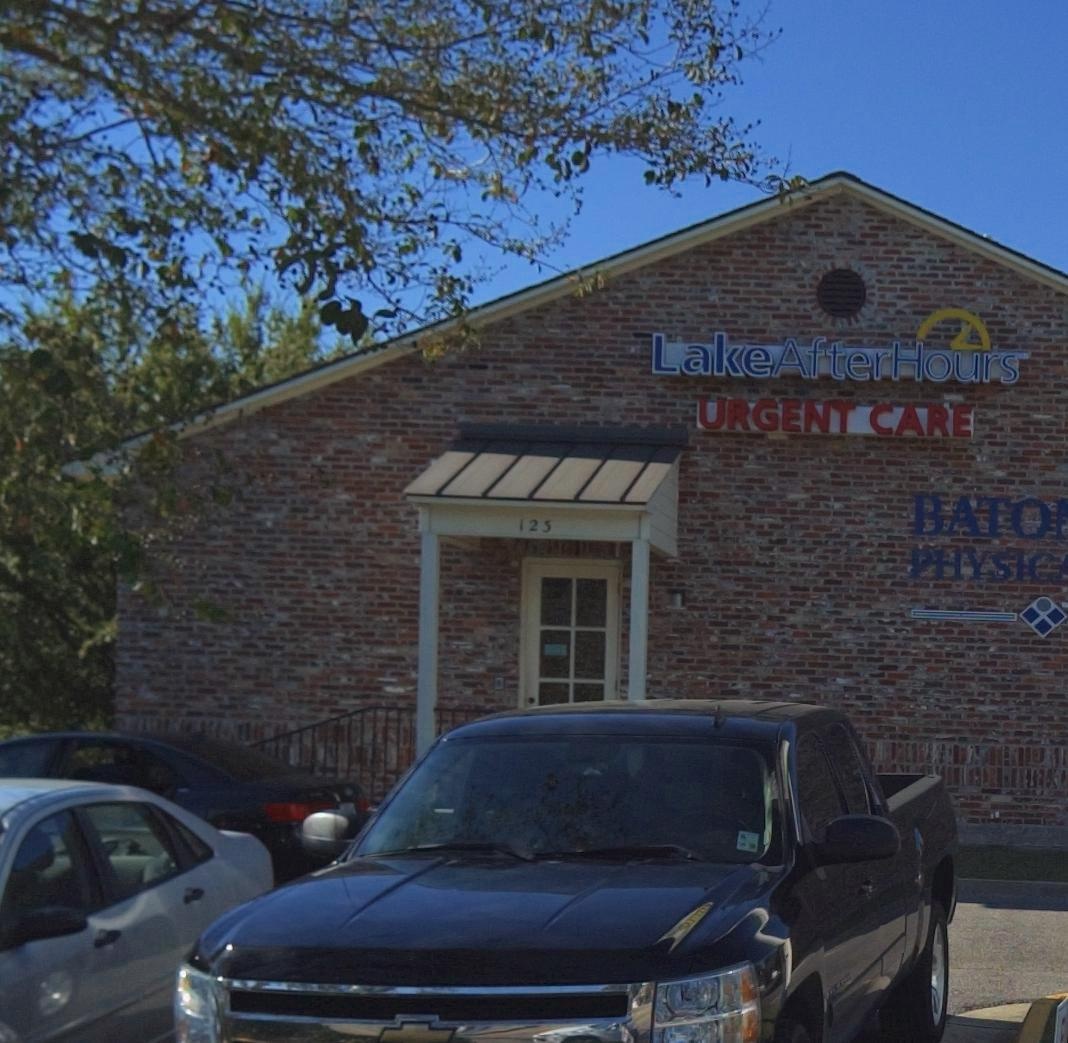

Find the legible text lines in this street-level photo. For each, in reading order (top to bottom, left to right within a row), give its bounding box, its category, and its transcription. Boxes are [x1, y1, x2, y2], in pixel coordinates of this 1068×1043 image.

[650, 330, 1021, 387] BusinessName: LakeAfterHours
[697, 396, 974, 440] BusinessName: URGENT CARE
[517, 516, 555, 536] StreetNumber: 123
[910, 488, 1053, 542] None: BATO
[907, 544, 1056, 586] None: PHYSIC